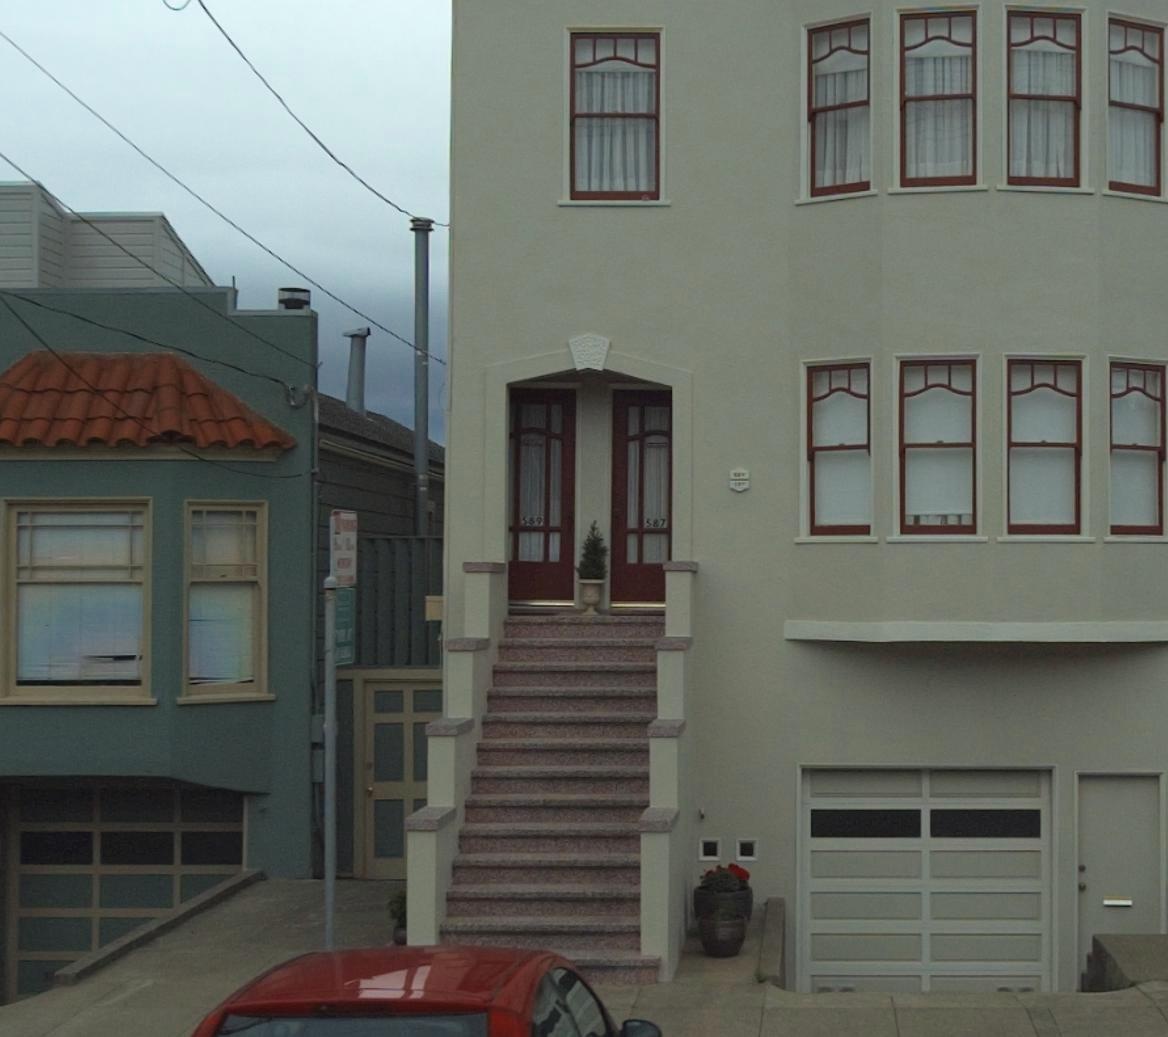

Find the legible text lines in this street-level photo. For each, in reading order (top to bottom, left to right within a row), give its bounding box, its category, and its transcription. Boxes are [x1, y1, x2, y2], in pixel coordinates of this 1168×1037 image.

[520, 516, 543, 526] StreetNumber: 589
[644, 518, 668, 528] StreetNumber: 587